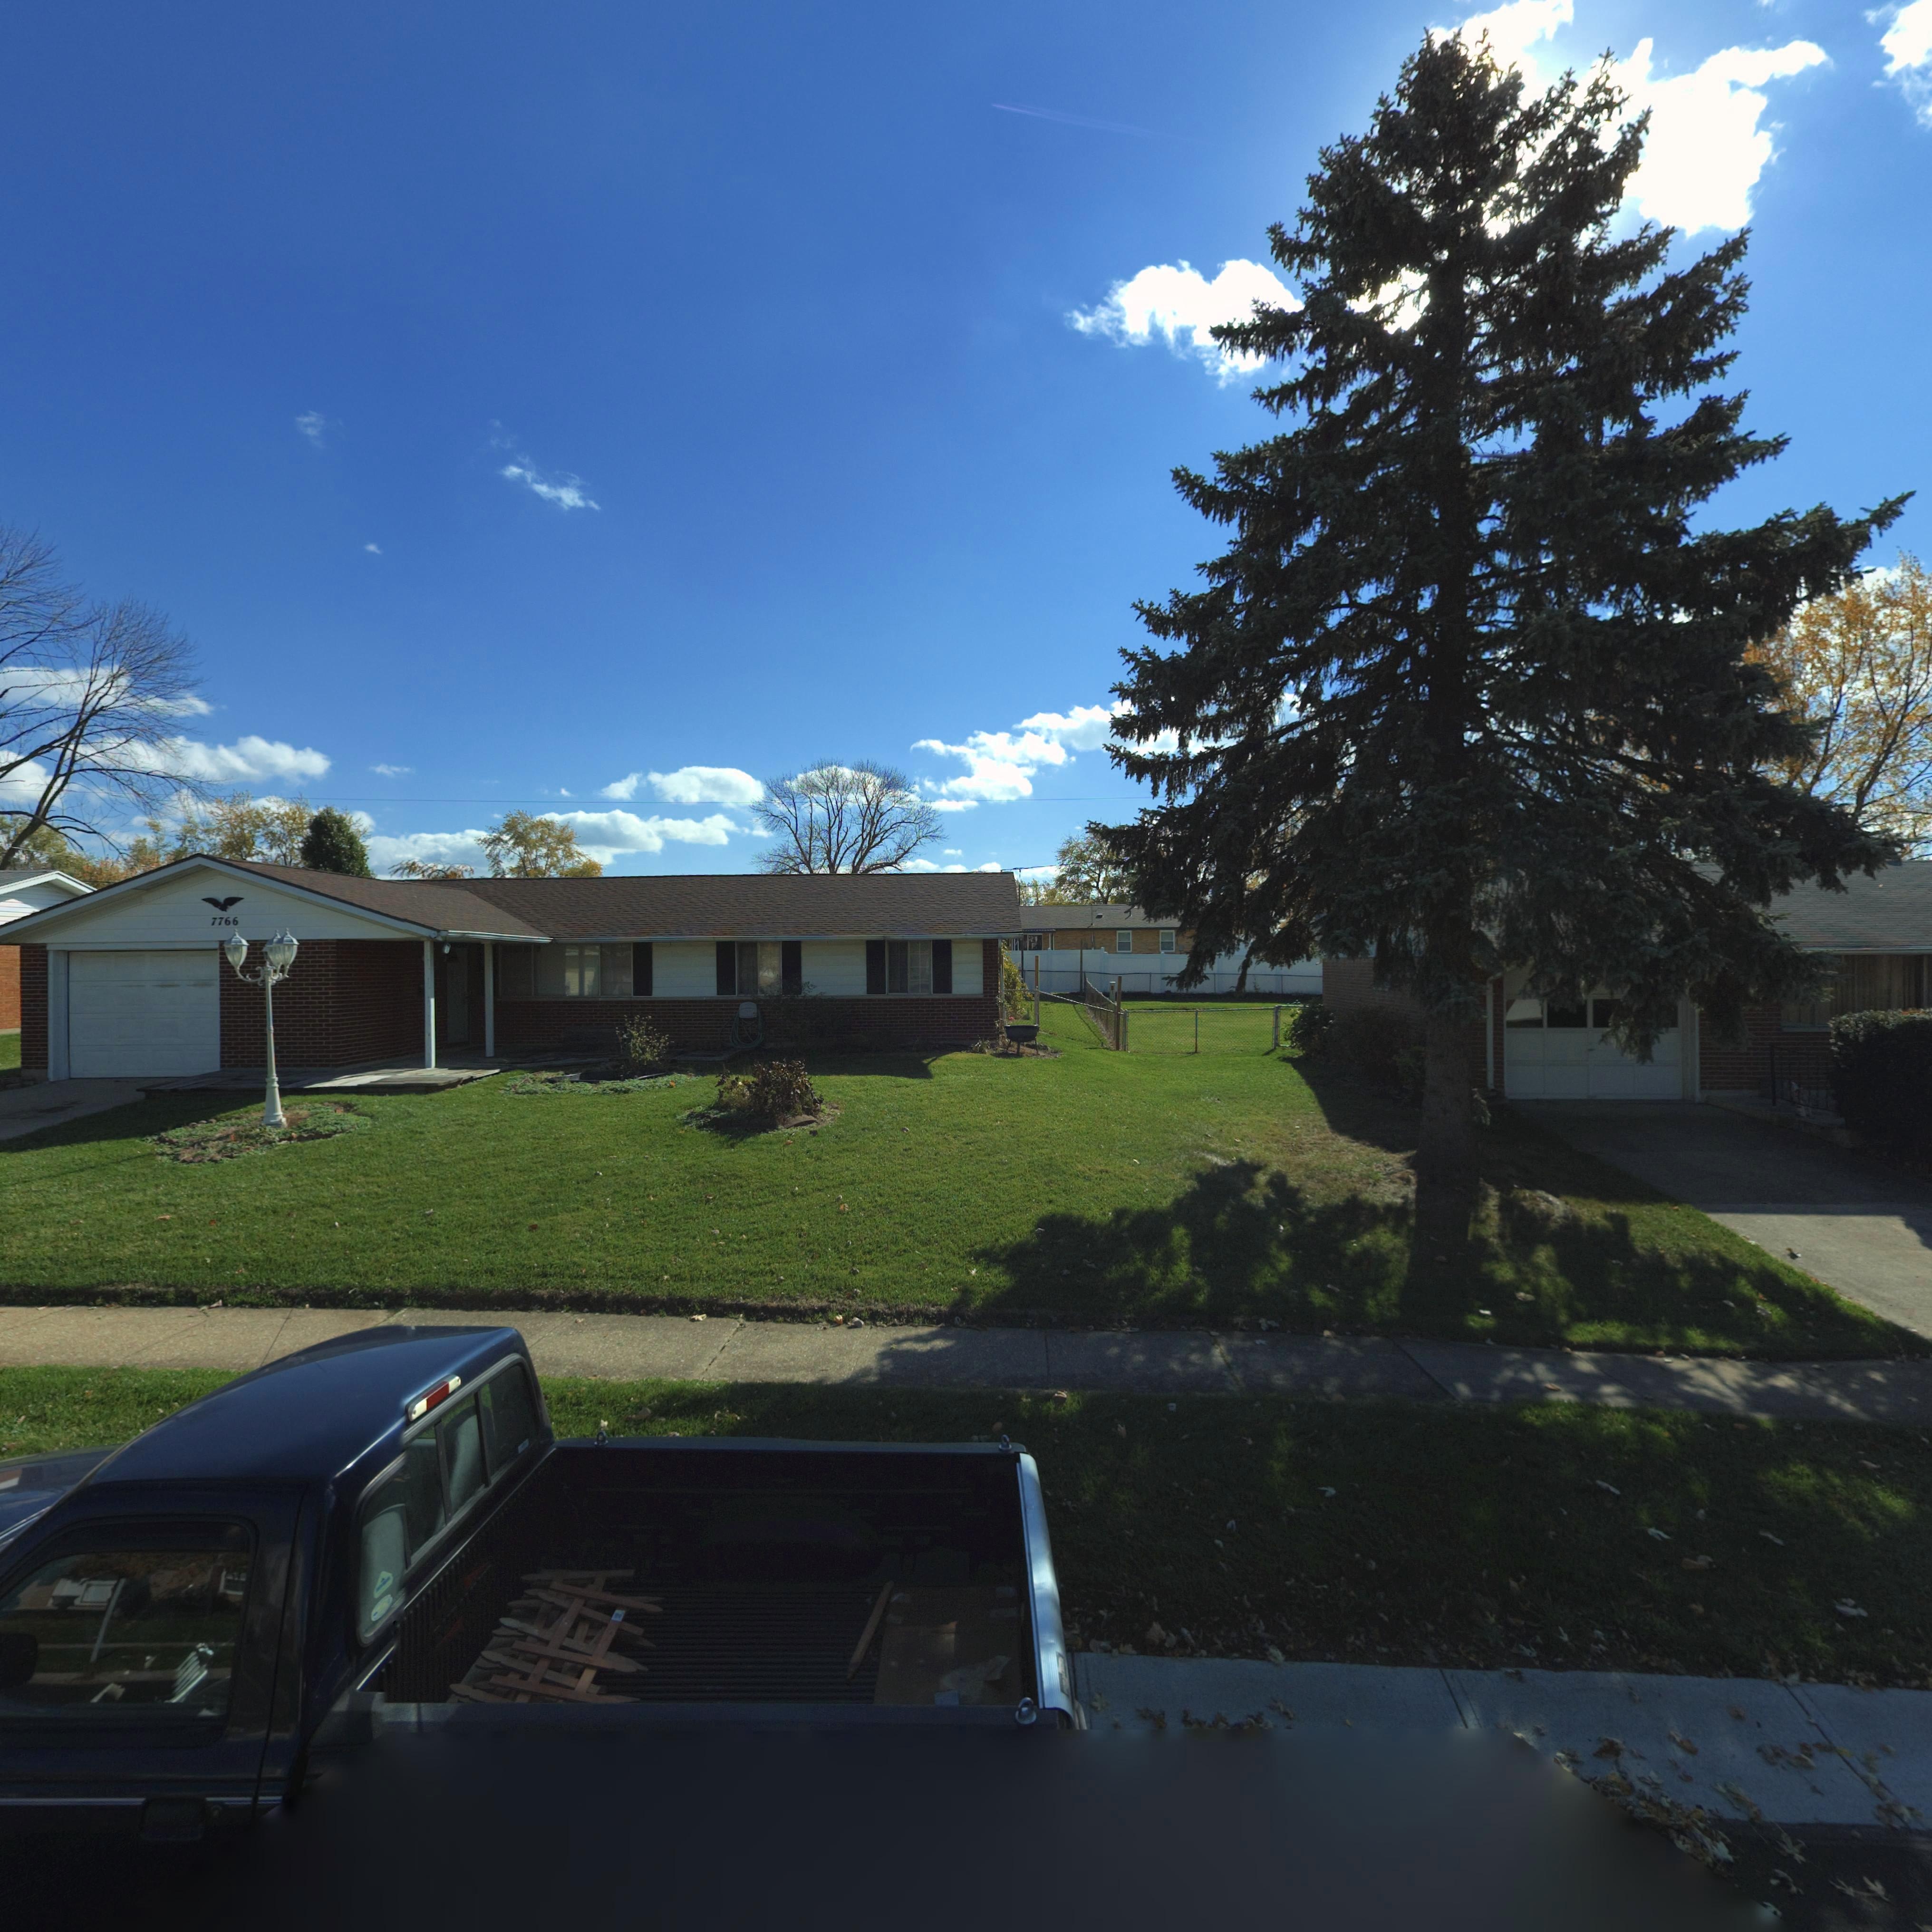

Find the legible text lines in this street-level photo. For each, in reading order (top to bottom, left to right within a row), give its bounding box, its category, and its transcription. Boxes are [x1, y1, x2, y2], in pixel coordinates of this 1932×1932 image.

[211, 916, 239, 926] StreetNumber: 7766